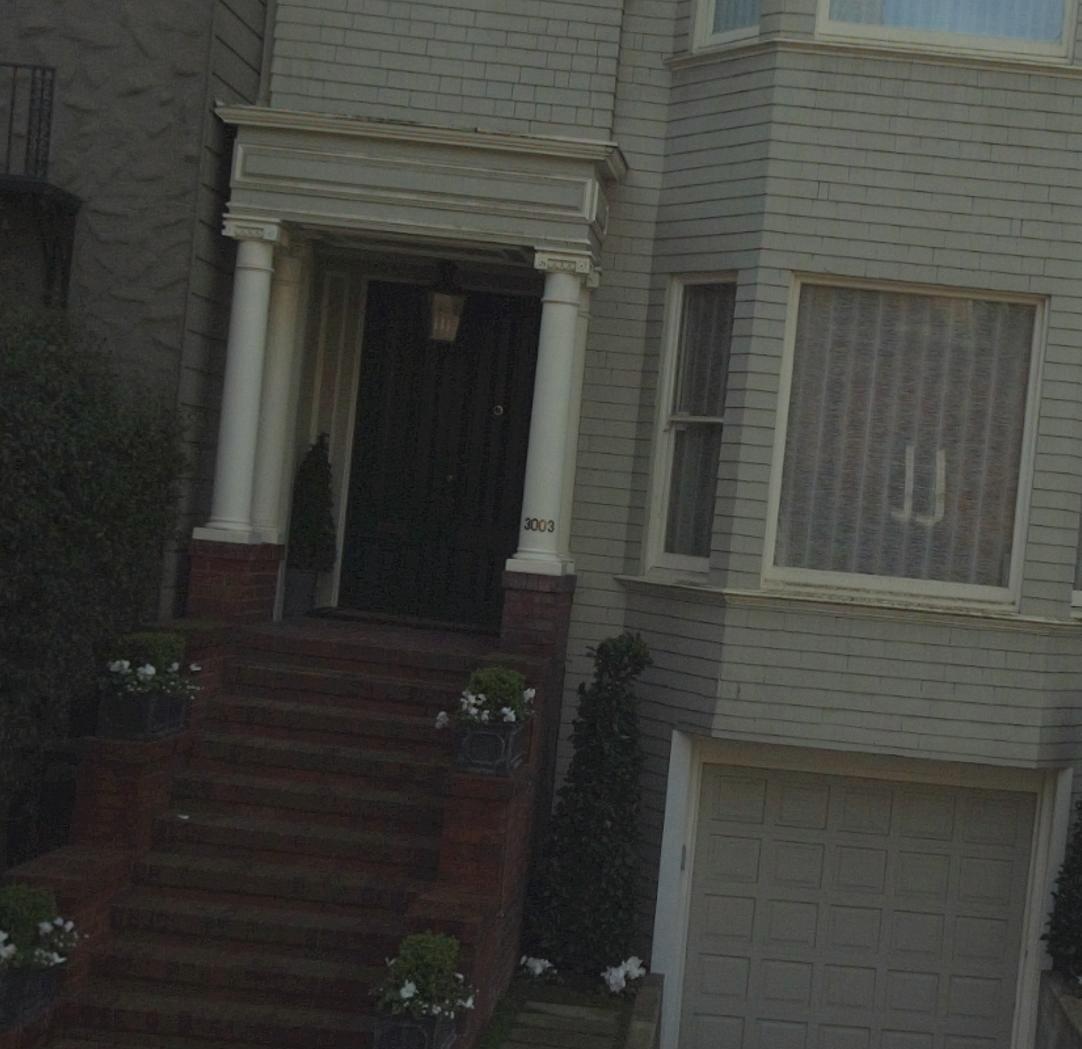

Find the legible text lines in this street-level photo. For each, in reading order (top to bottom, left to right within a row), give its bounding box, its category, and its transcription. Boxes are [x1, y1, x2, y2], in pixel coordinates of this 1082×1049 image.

[521, 514, 558, 536] StreetNumber: 3003